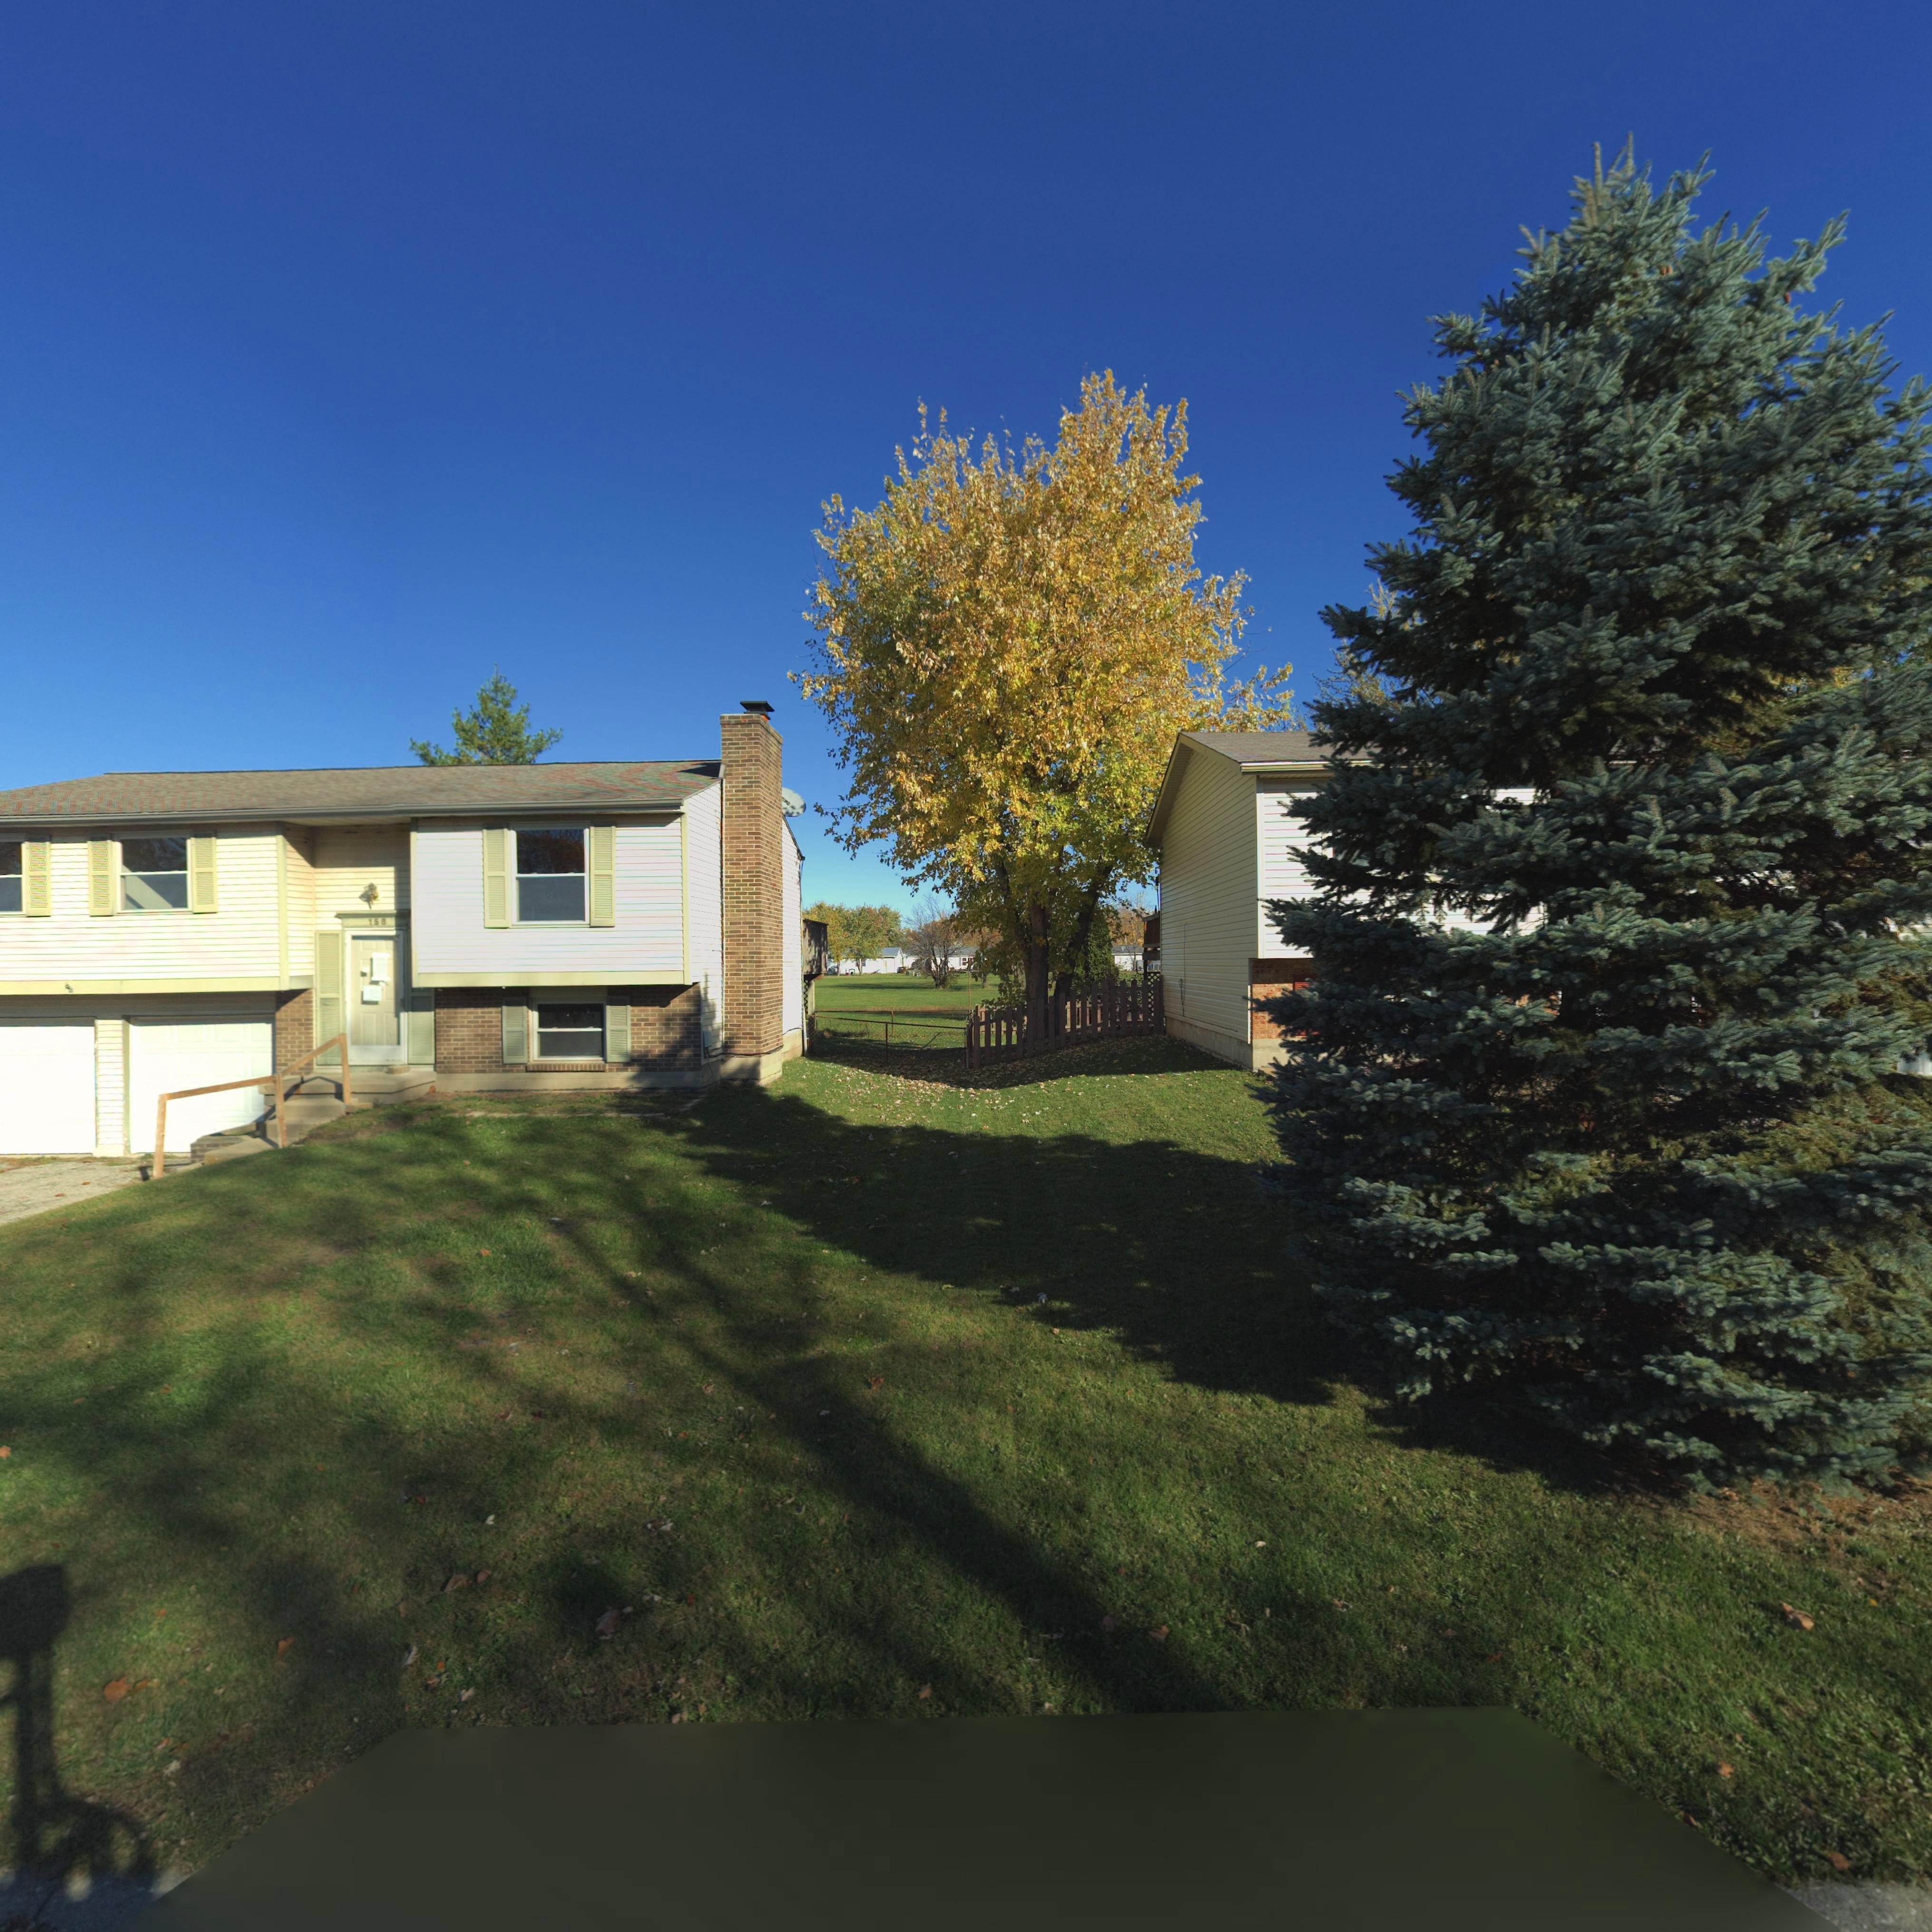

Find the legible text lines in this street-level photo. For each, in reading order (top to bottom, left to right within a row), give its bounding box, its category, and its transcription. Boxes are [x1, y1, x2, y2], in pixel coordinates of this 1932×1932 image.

[367, 917, 387, 927] StreetNumber: 158